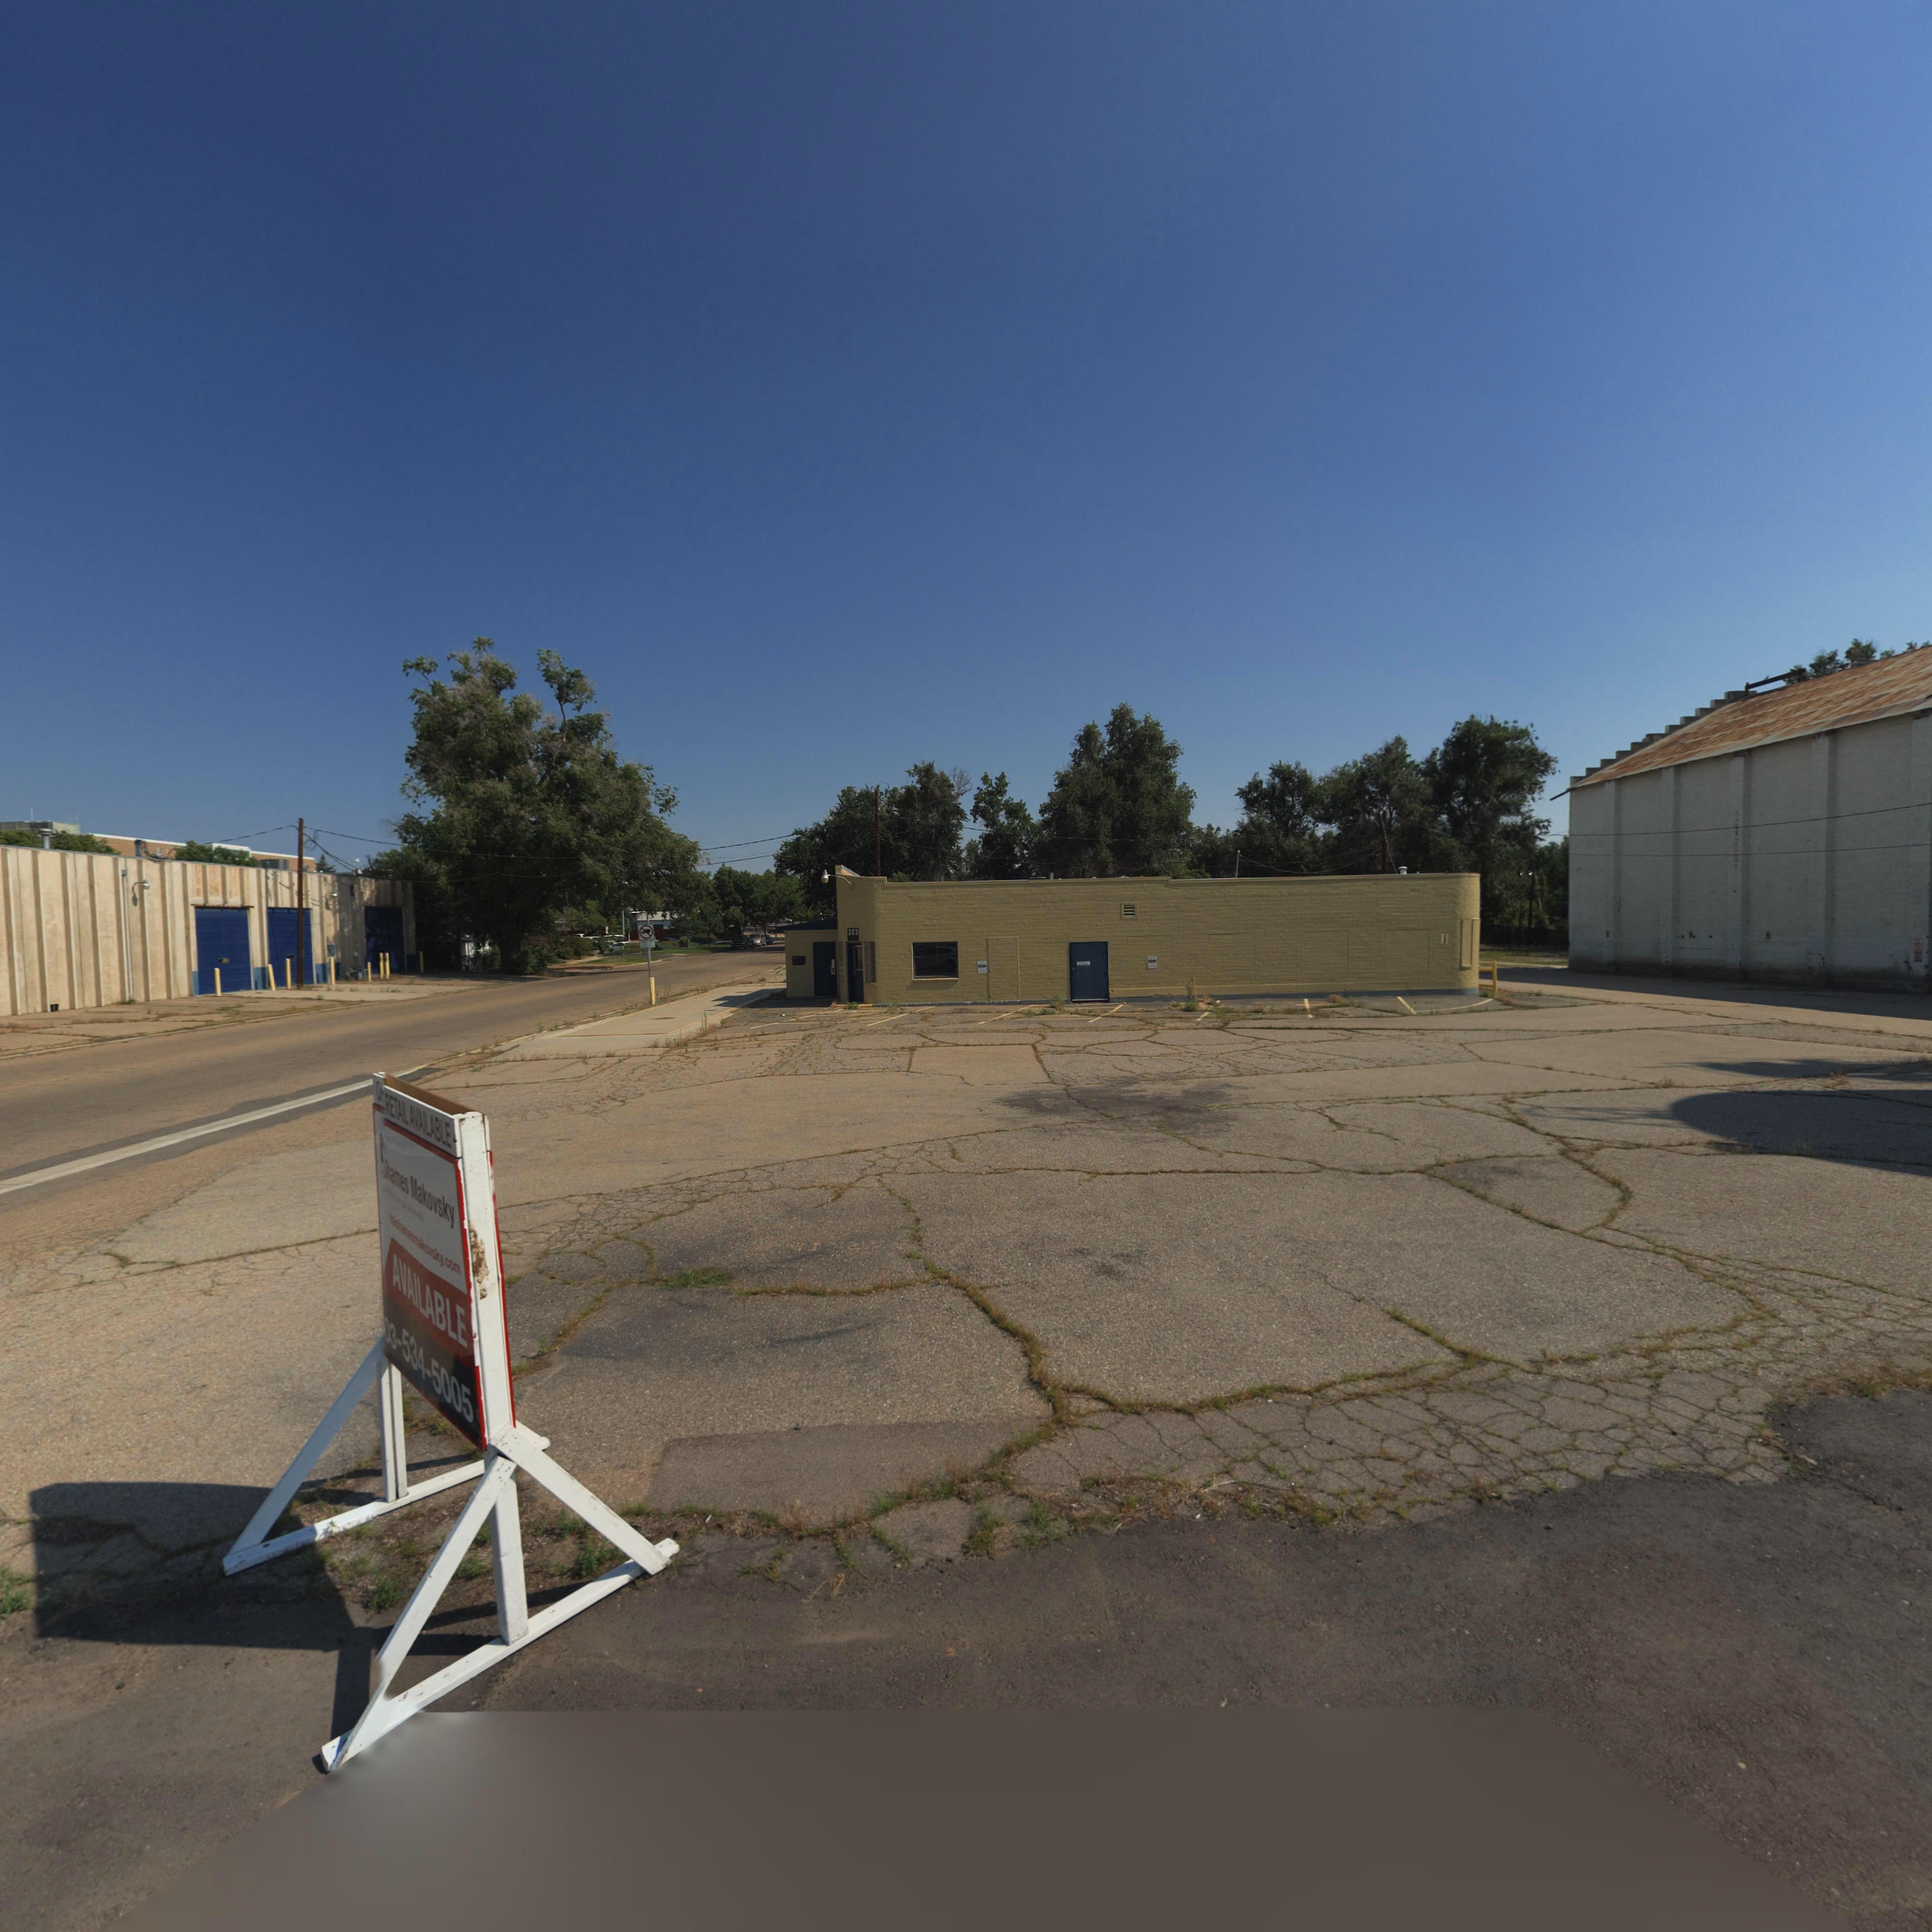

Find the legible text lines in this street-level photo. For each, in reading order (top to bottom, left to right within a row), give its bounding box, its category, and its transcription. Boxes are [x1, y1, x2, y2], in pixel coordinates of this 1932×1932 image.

[848, 928, 858, 936] StreetNumber: 202